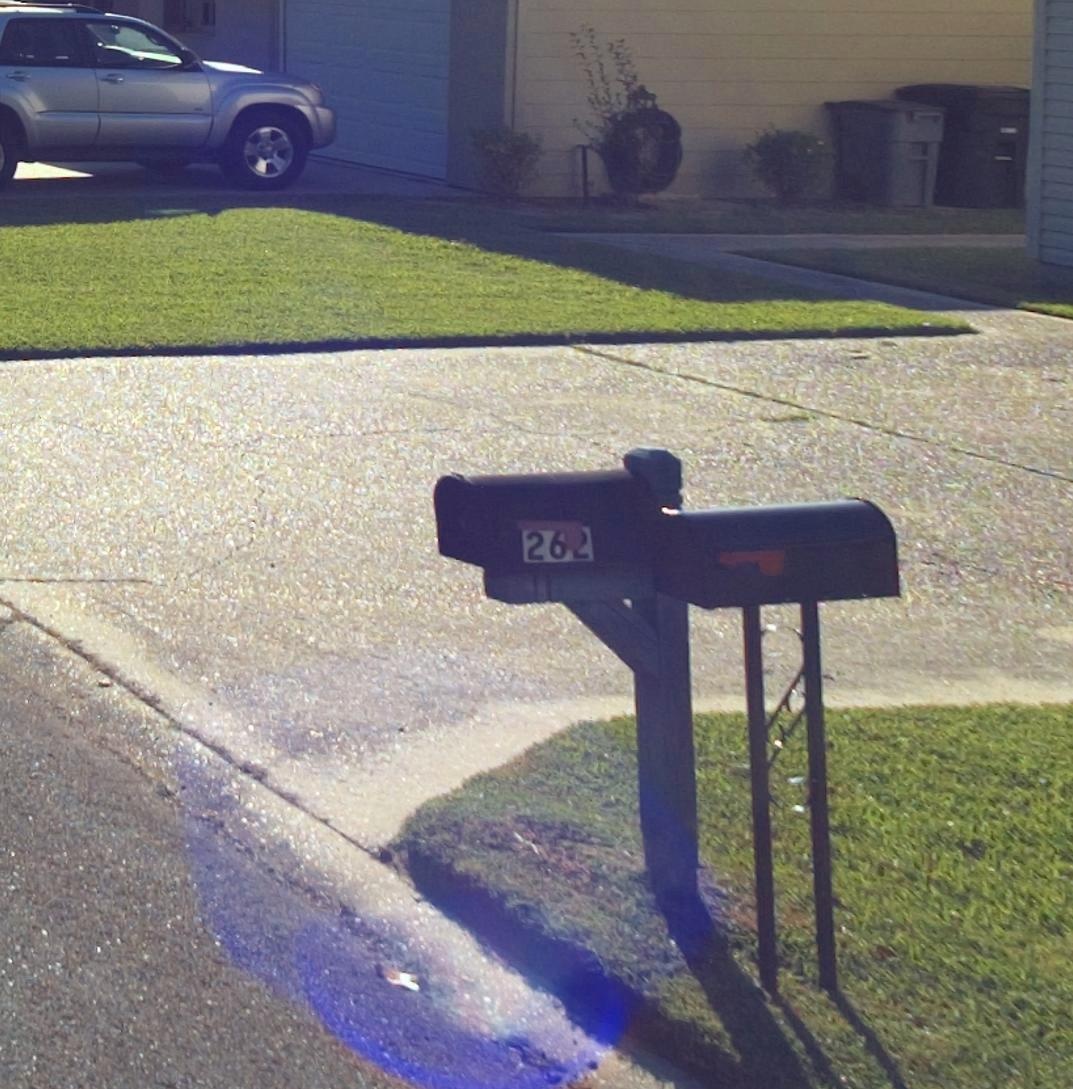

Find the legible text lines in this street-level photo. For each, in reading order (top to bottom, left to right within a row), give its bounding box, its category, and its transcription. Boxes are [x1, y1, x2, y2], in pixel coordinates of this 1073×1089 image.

[525, 529, 591, 561] StreetNumber: 262